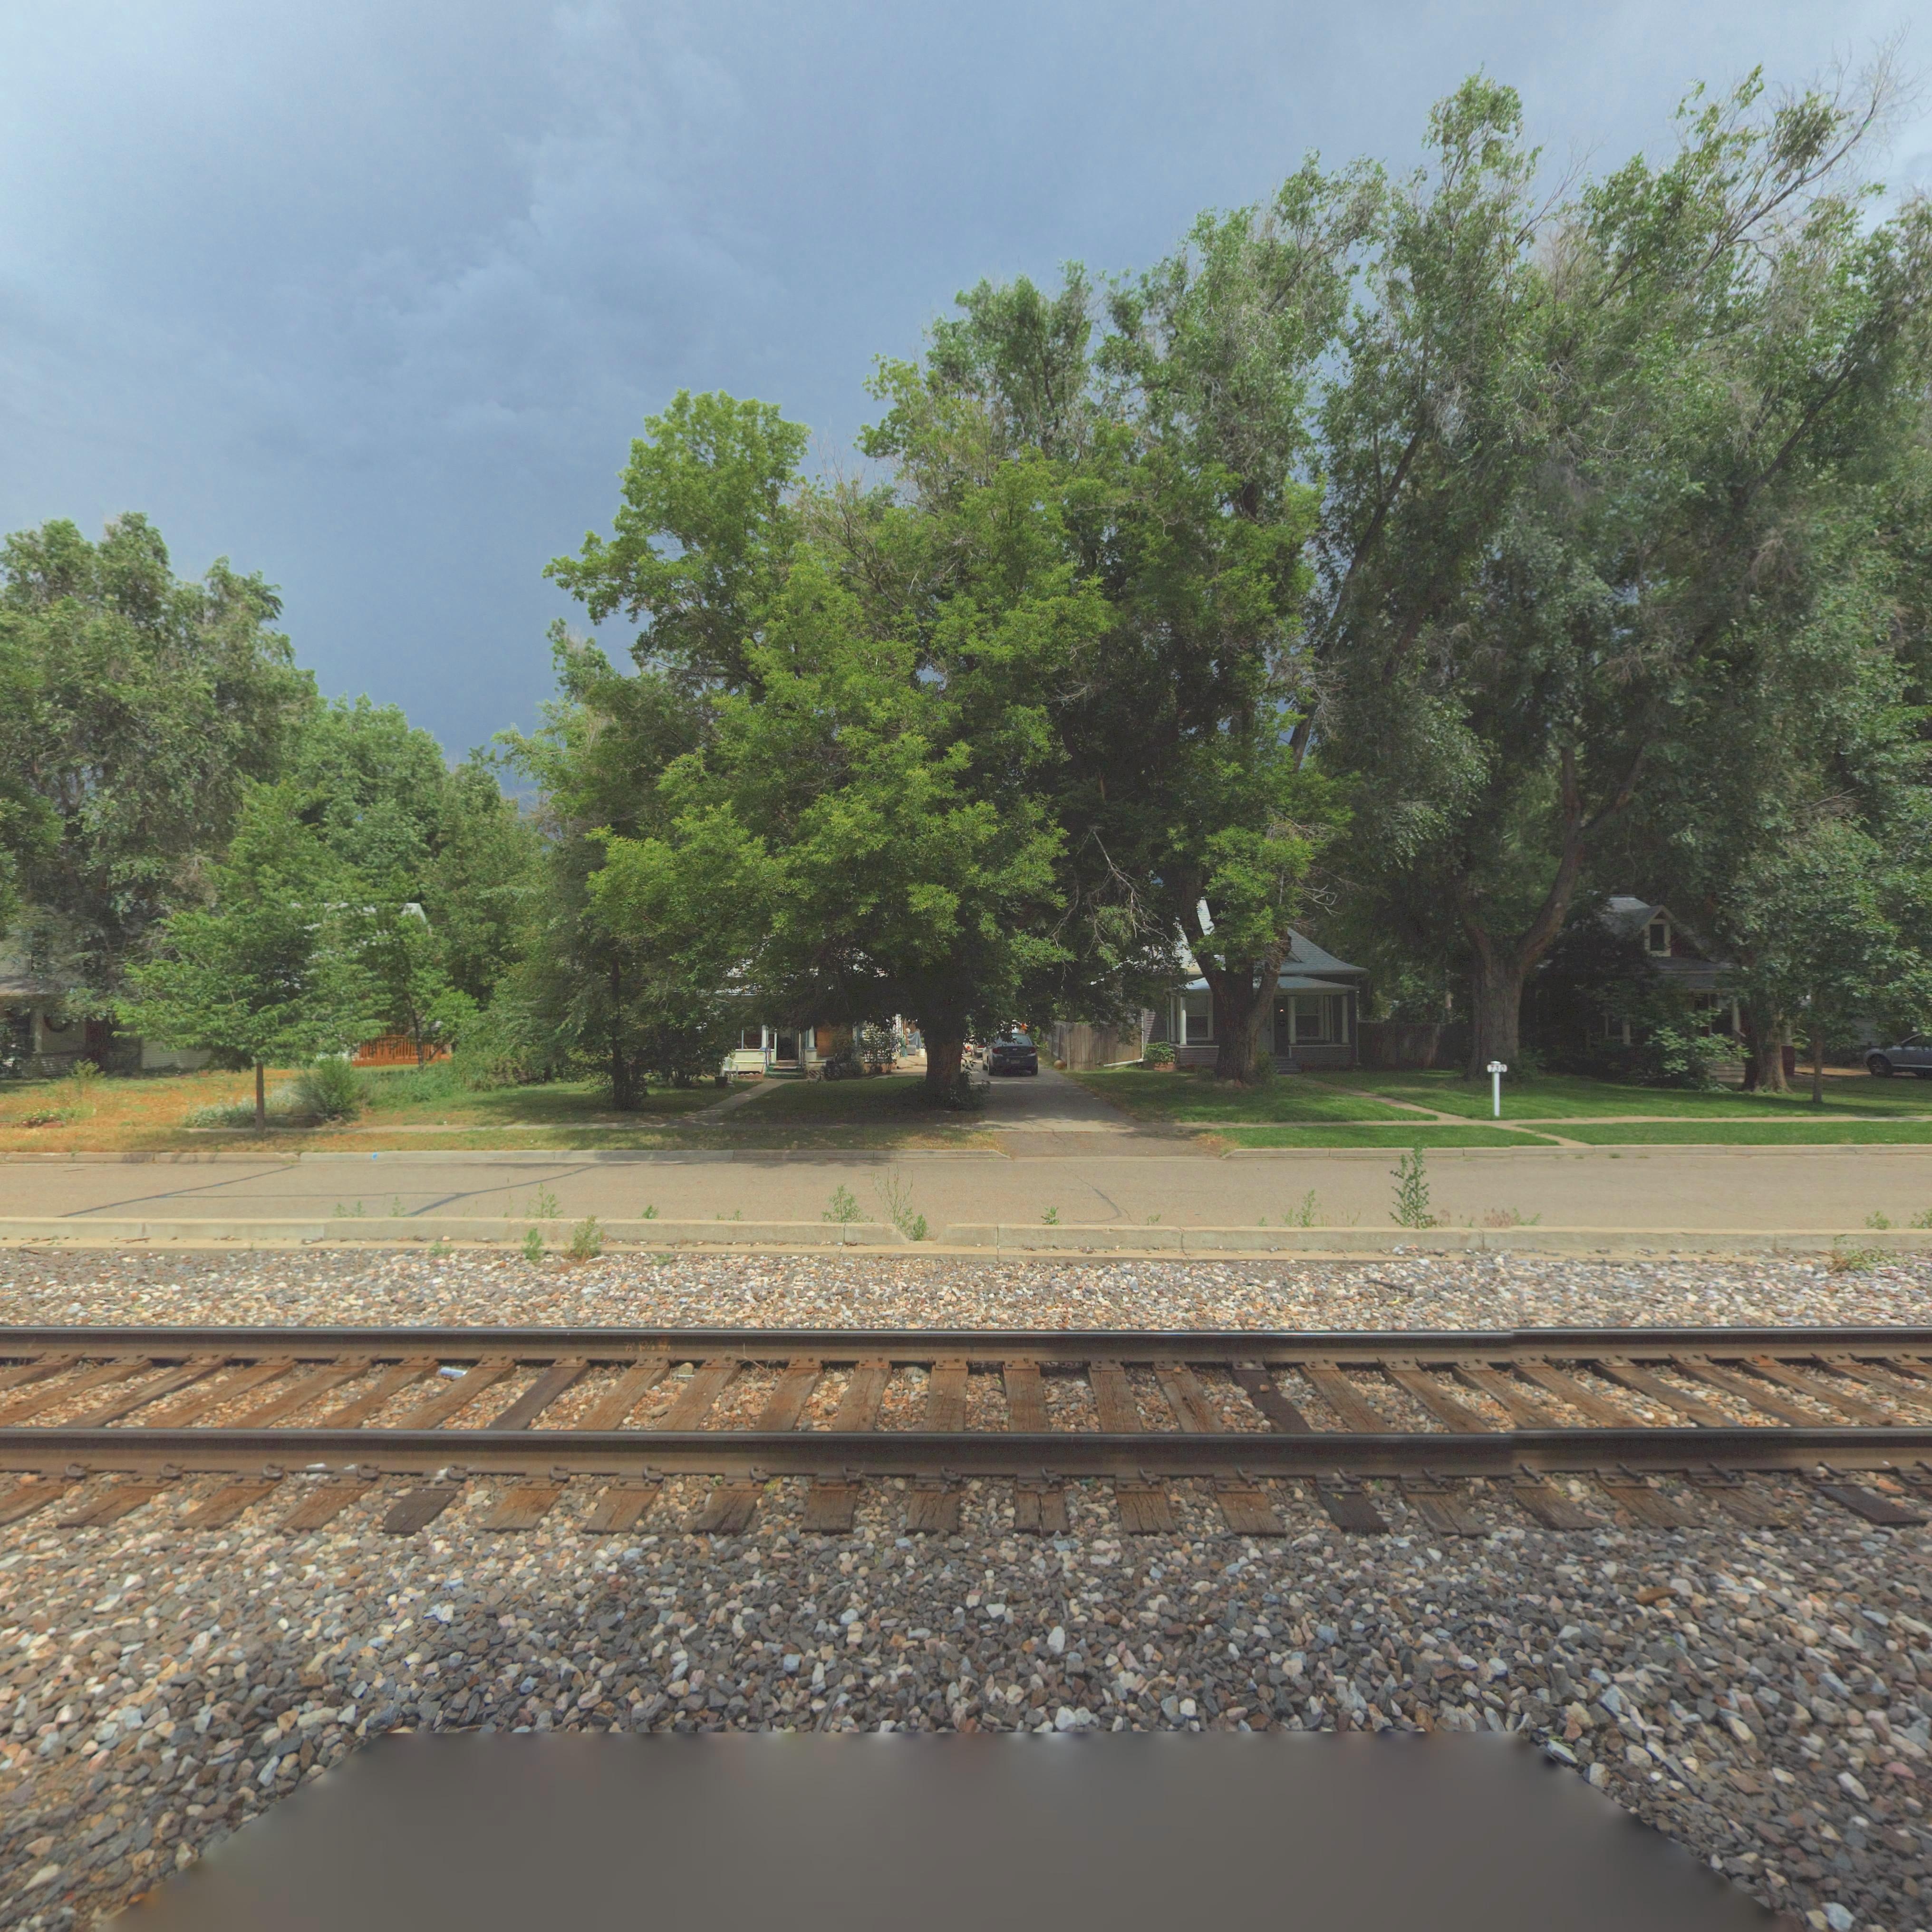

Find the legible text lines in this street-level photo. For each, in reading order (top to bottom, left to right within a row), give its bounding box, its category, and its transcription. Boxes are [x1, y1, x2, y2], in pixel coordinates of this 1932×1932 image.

[1489, 1065, 1506, 1072] StreetNumber: 730